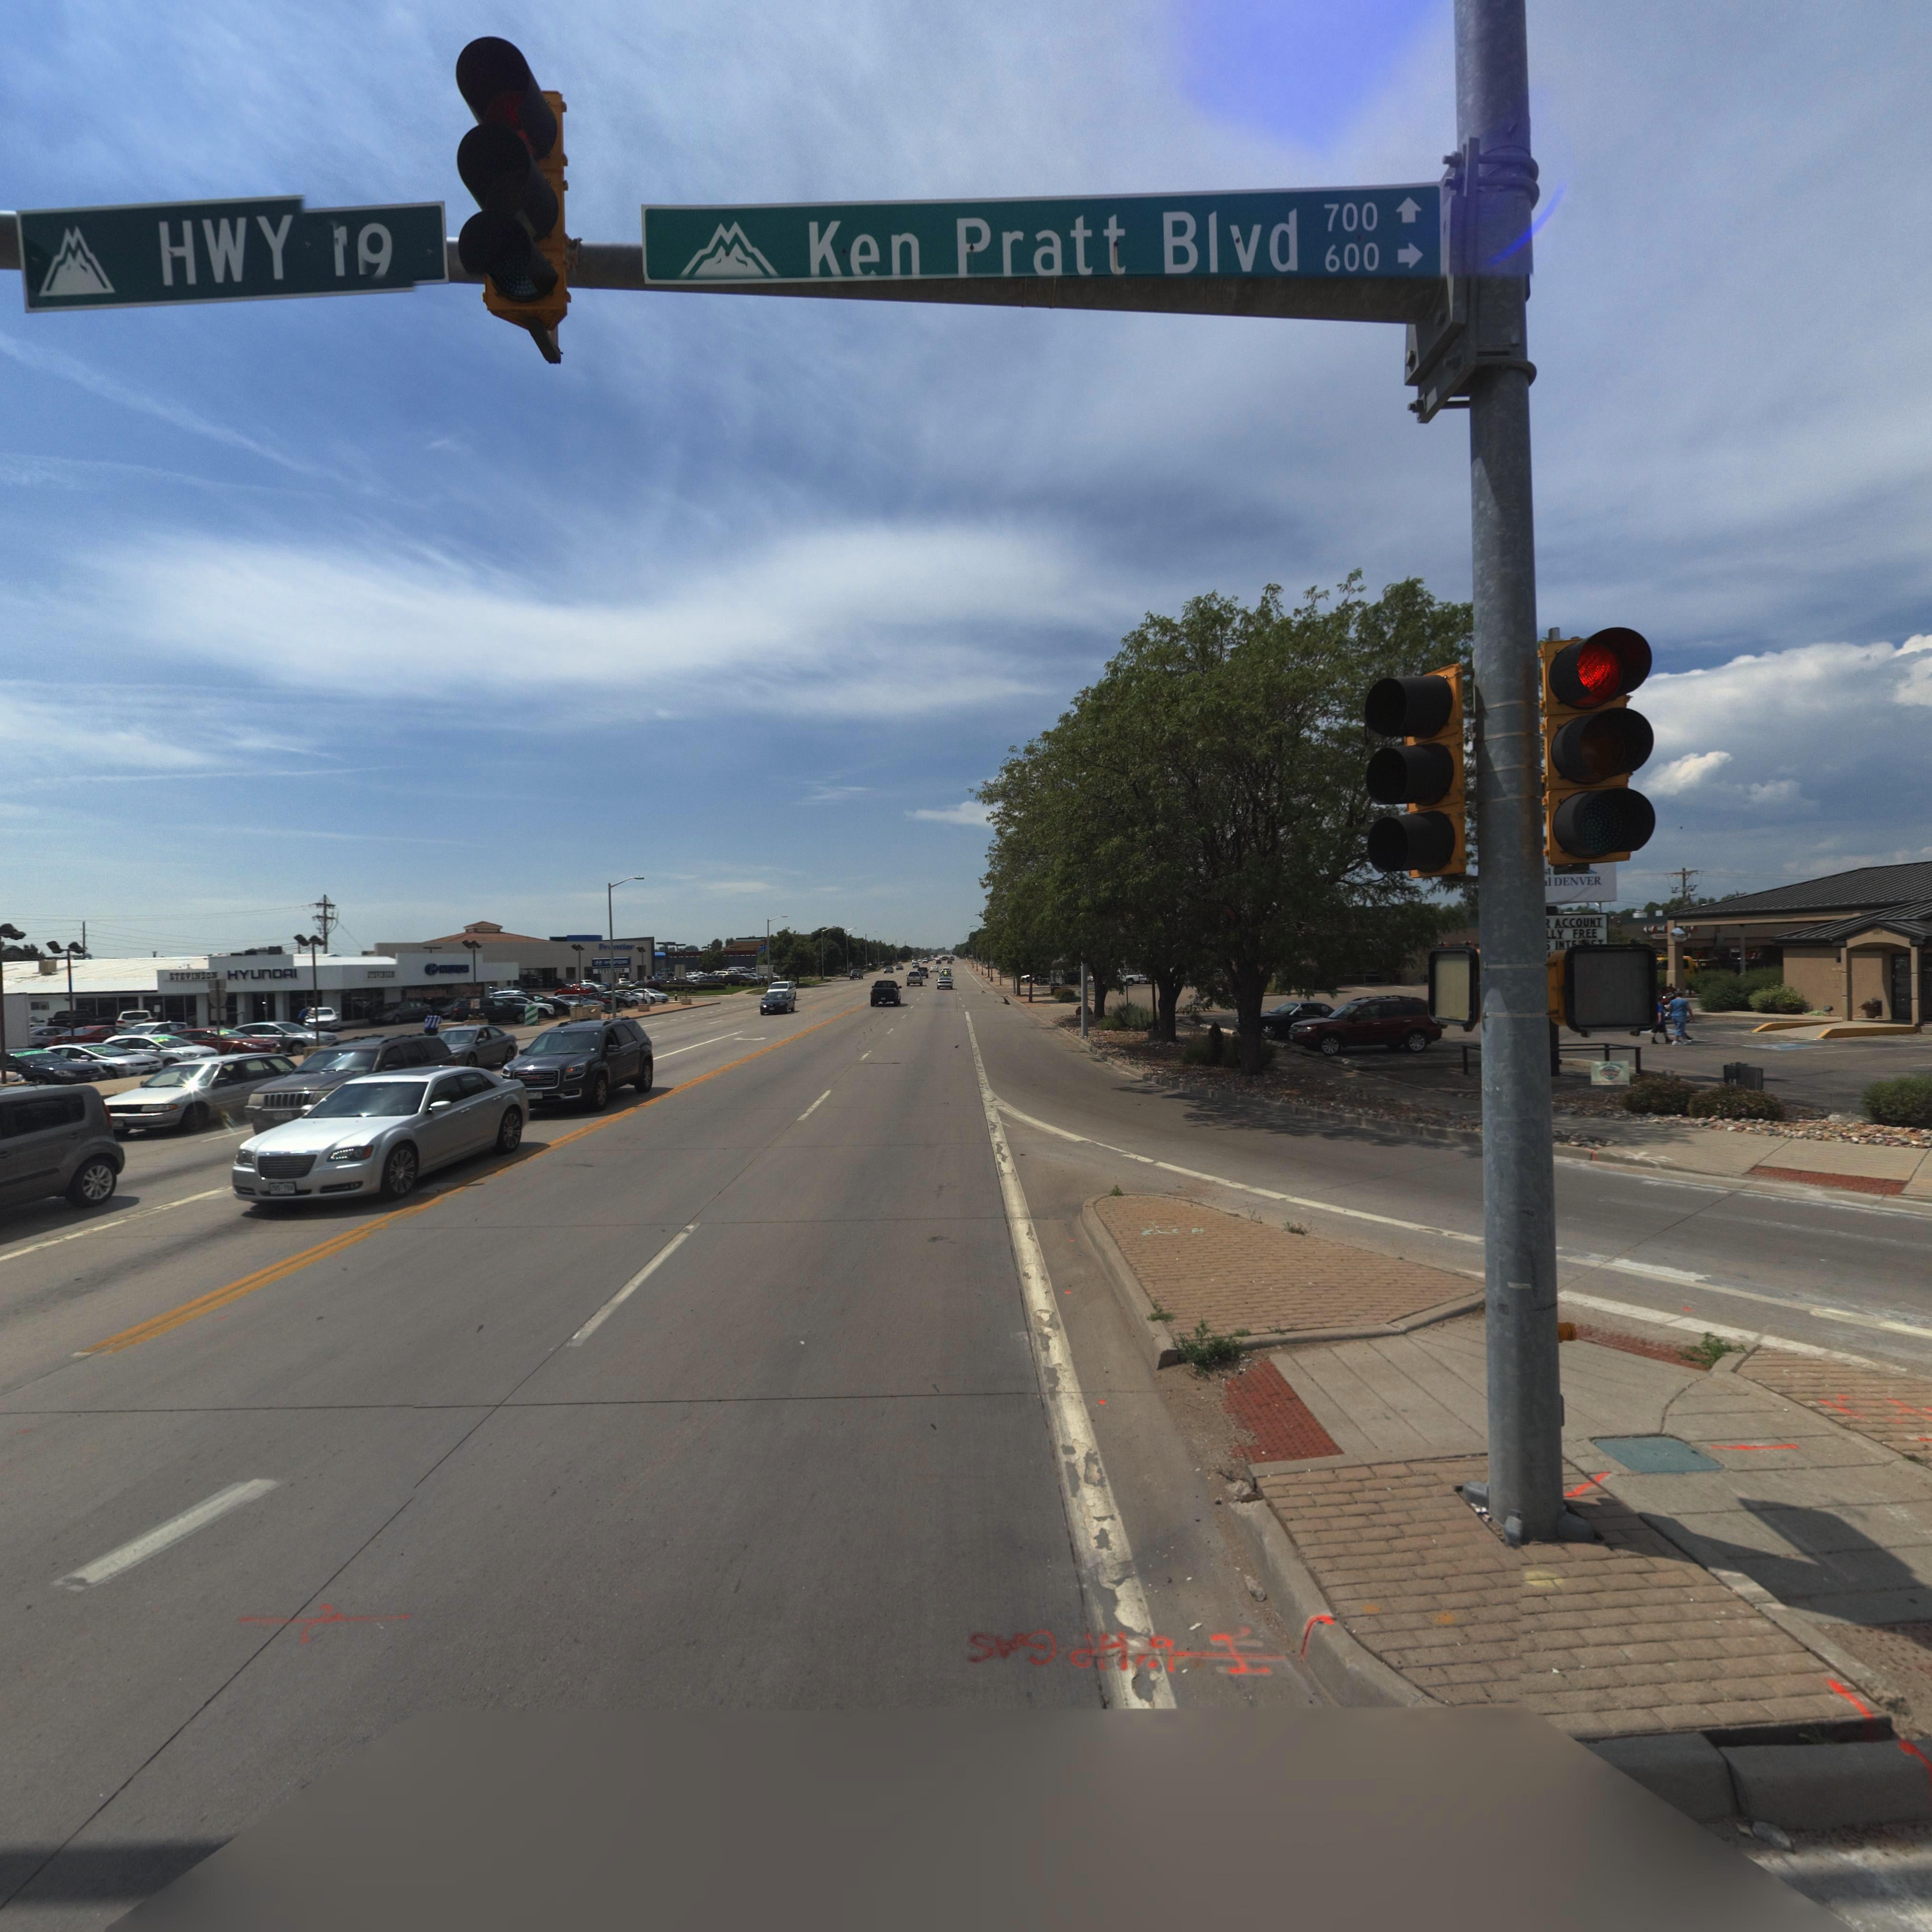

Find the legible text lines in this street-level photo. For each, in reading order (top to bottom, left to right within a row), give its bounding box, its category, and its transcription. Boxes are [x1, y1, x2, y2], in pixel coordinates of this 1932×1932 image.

[1322, 201, 1379, 233] StreetNumberRange: 700
[807, 205, 1301, 280] BusinessName: Ken Pratt Blvd
[155, 213, 395, 287] StreetName: HWY **
[1323, 241, 1425, 272] StreetNumberRange: 600->
[1543, 866, 1552, 876] BusinessName: *t
[1544, 876, 1602, 886] BusinessName: *l DENVER
[598, 943, 635, 950] BusinessName: Fr*ntier
[604, 960, 628, 965] BusinessName: H**nDAI
[169, 971, 218, 980] BusinessName: STEVINSON
[226, 967, 298, 980] BusinessName: HYUnDAI
[367, 970, 395, 979] BusinessName: STEVIN**N
[597, 968, 625, 973] BusinessName: STEV**SON